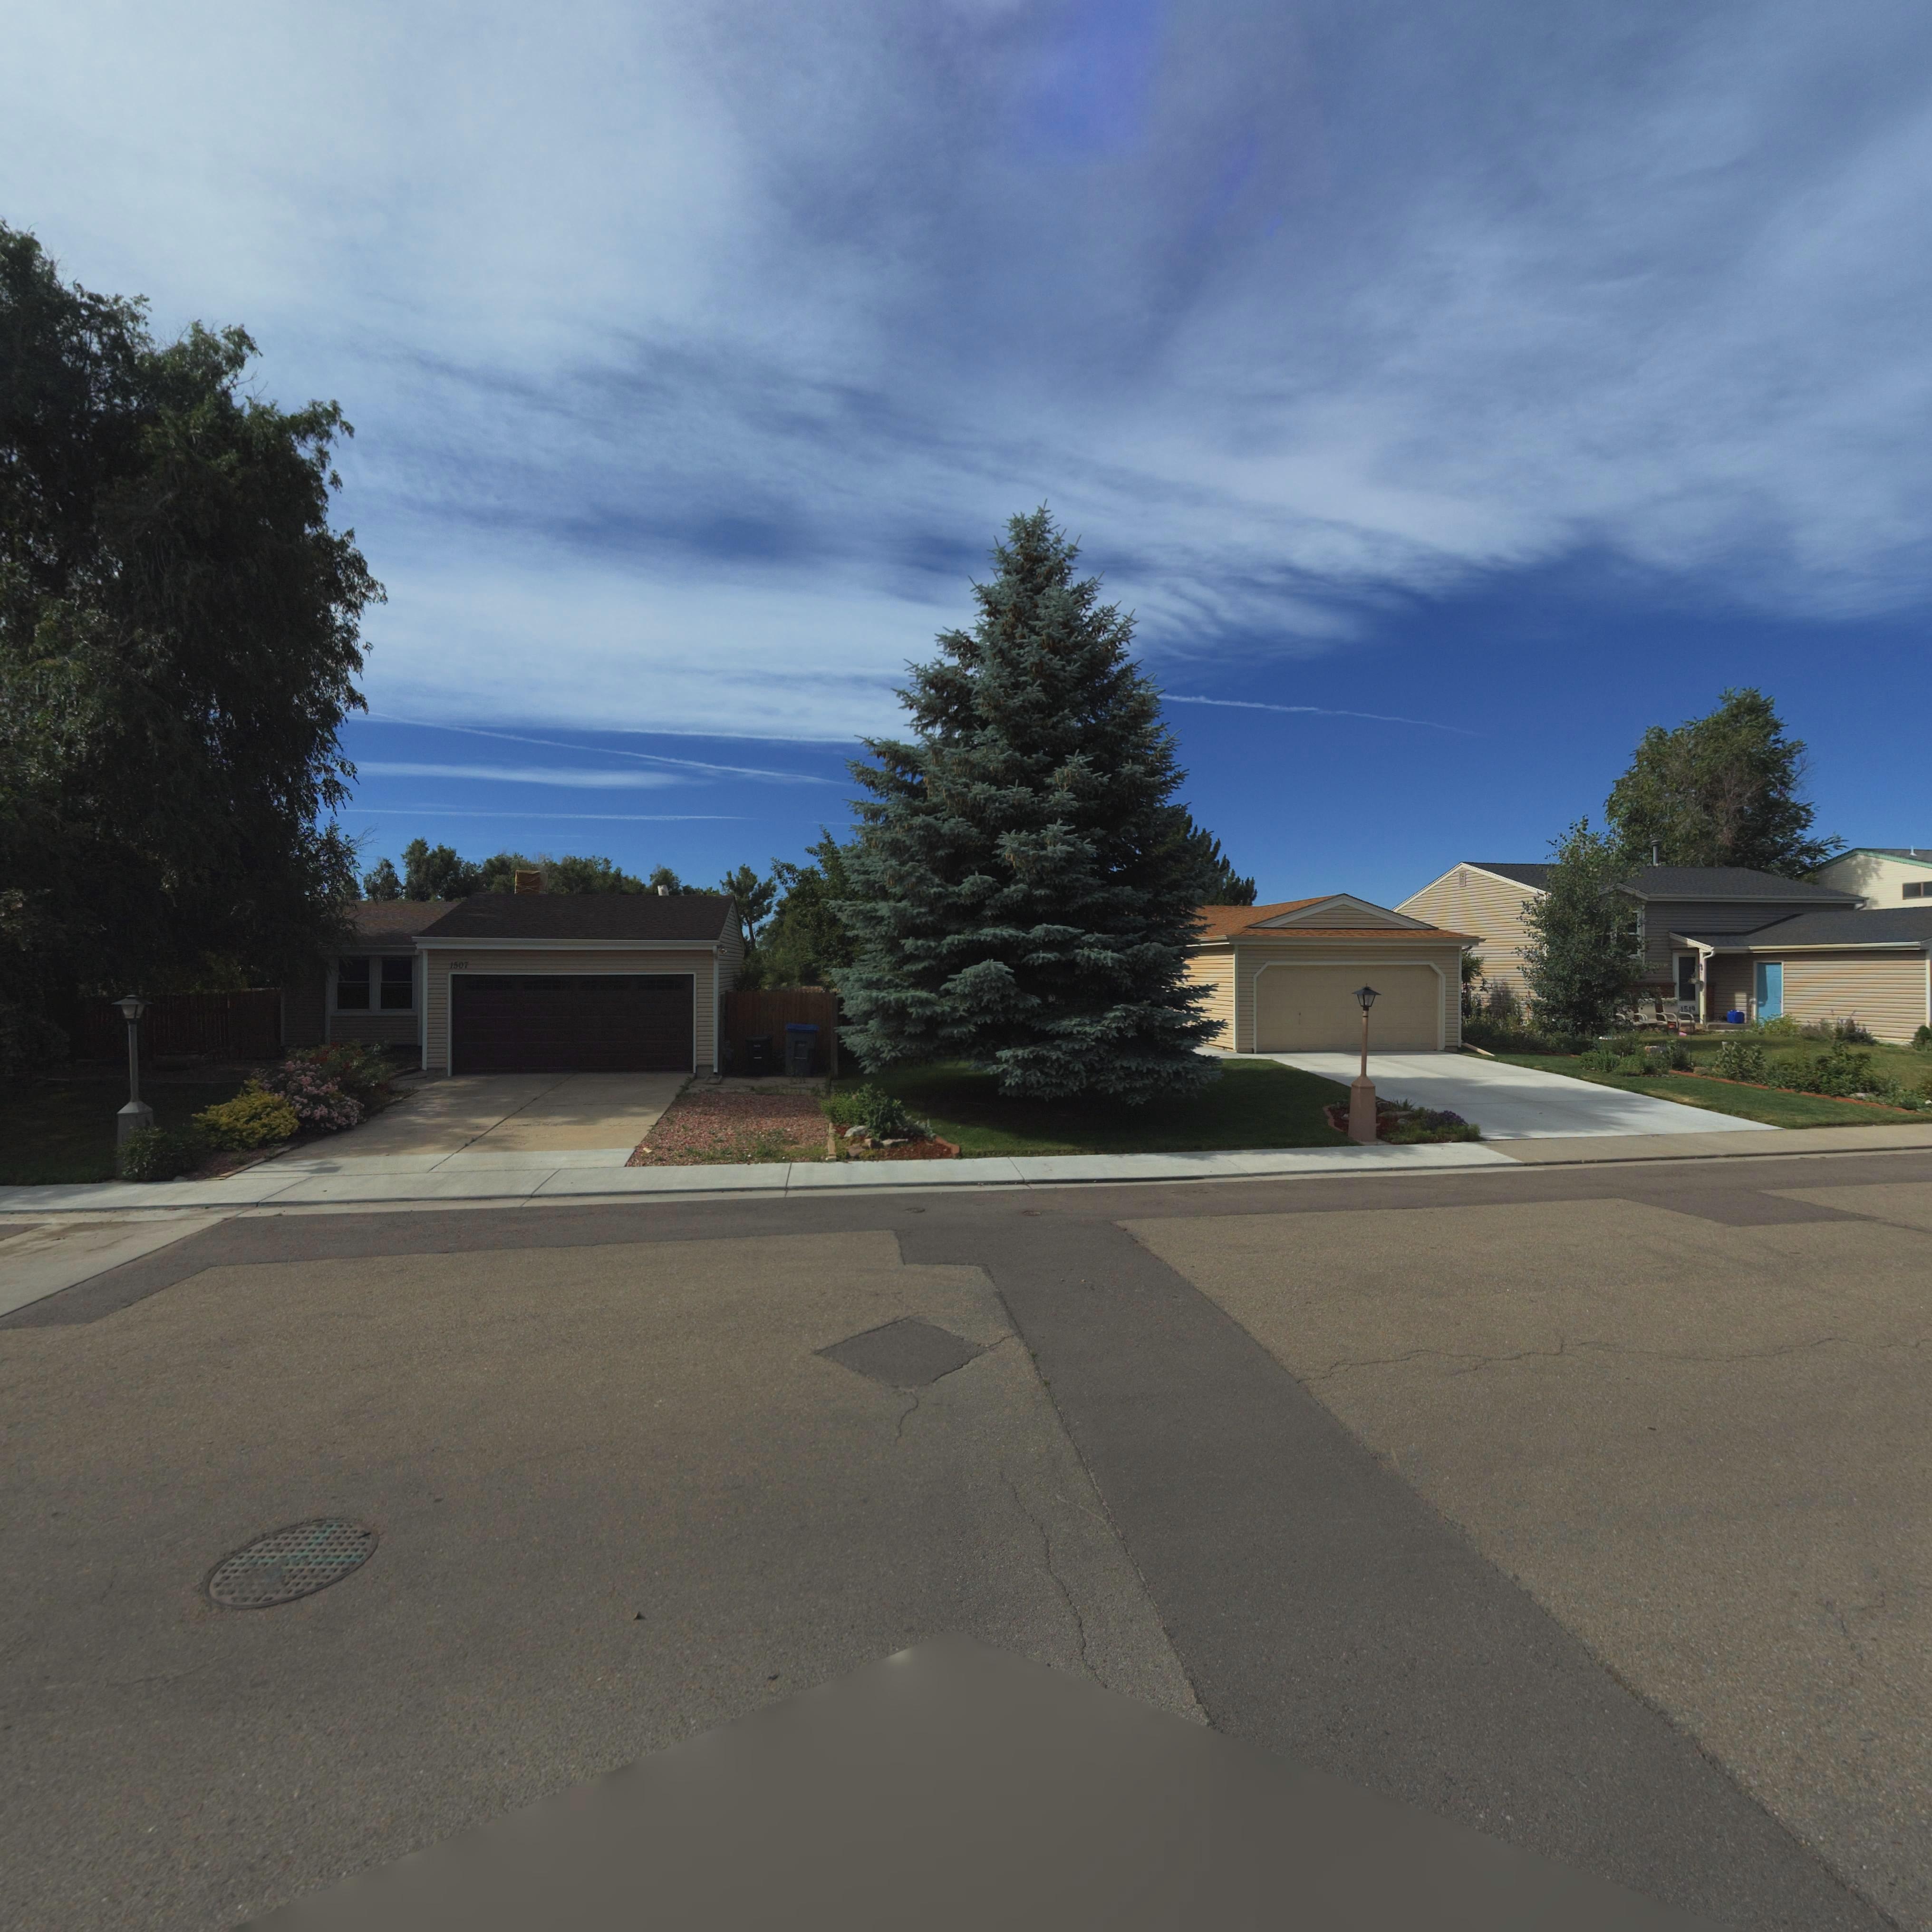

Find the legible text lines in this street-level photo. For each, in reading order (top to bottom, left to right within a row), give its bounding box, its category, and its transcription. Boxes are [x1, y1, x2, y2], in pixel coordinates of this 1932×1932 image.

[450, 961, 469, 969] StreetNumber: 1507
[1681, 1005, 1695, 1012] StreetNumber: 1519